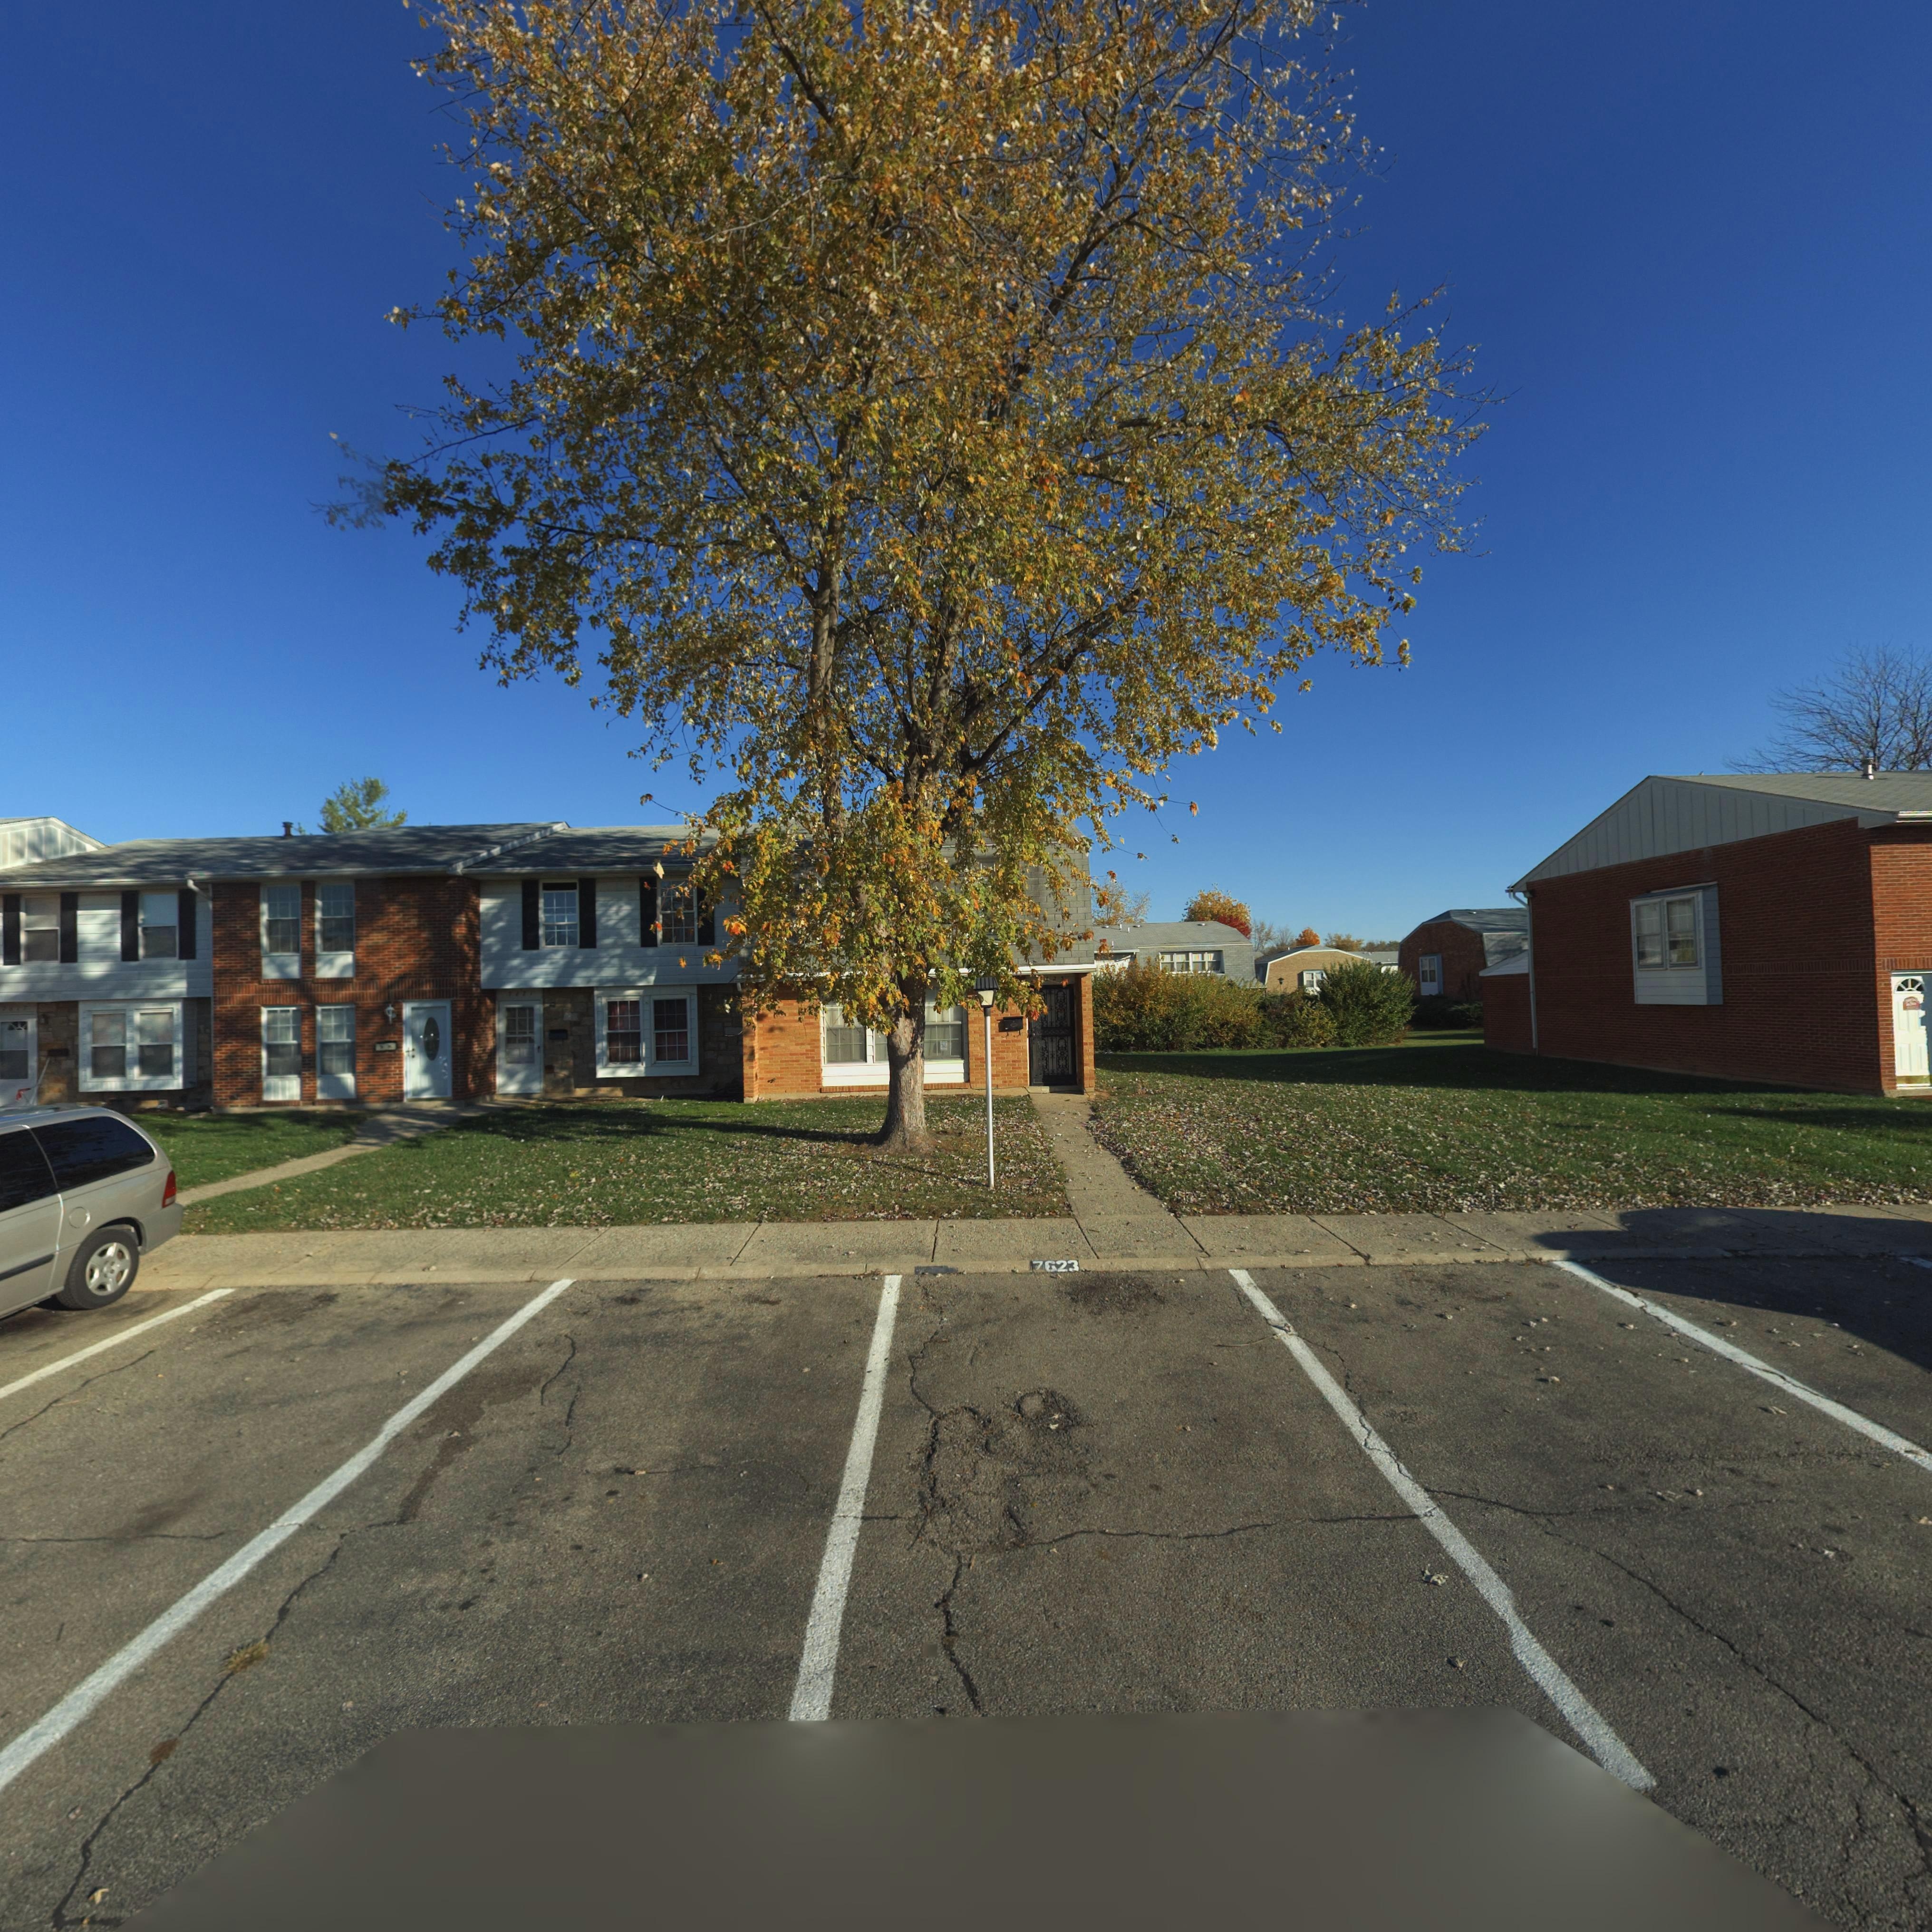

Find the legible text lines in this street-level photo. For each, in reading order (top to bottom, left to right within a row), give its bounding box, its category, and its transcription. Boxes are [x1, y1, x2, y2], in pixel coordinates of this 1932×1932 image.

[1052, 976, 1064, 981] StreetNumber: 23
[507, 989, 534, 997] StreetNumber: 7621
[1, 1005, 30, 1012] StreetNumber: 7617
[1032, 1259, 1080, 1273] StreetNumber: 7623